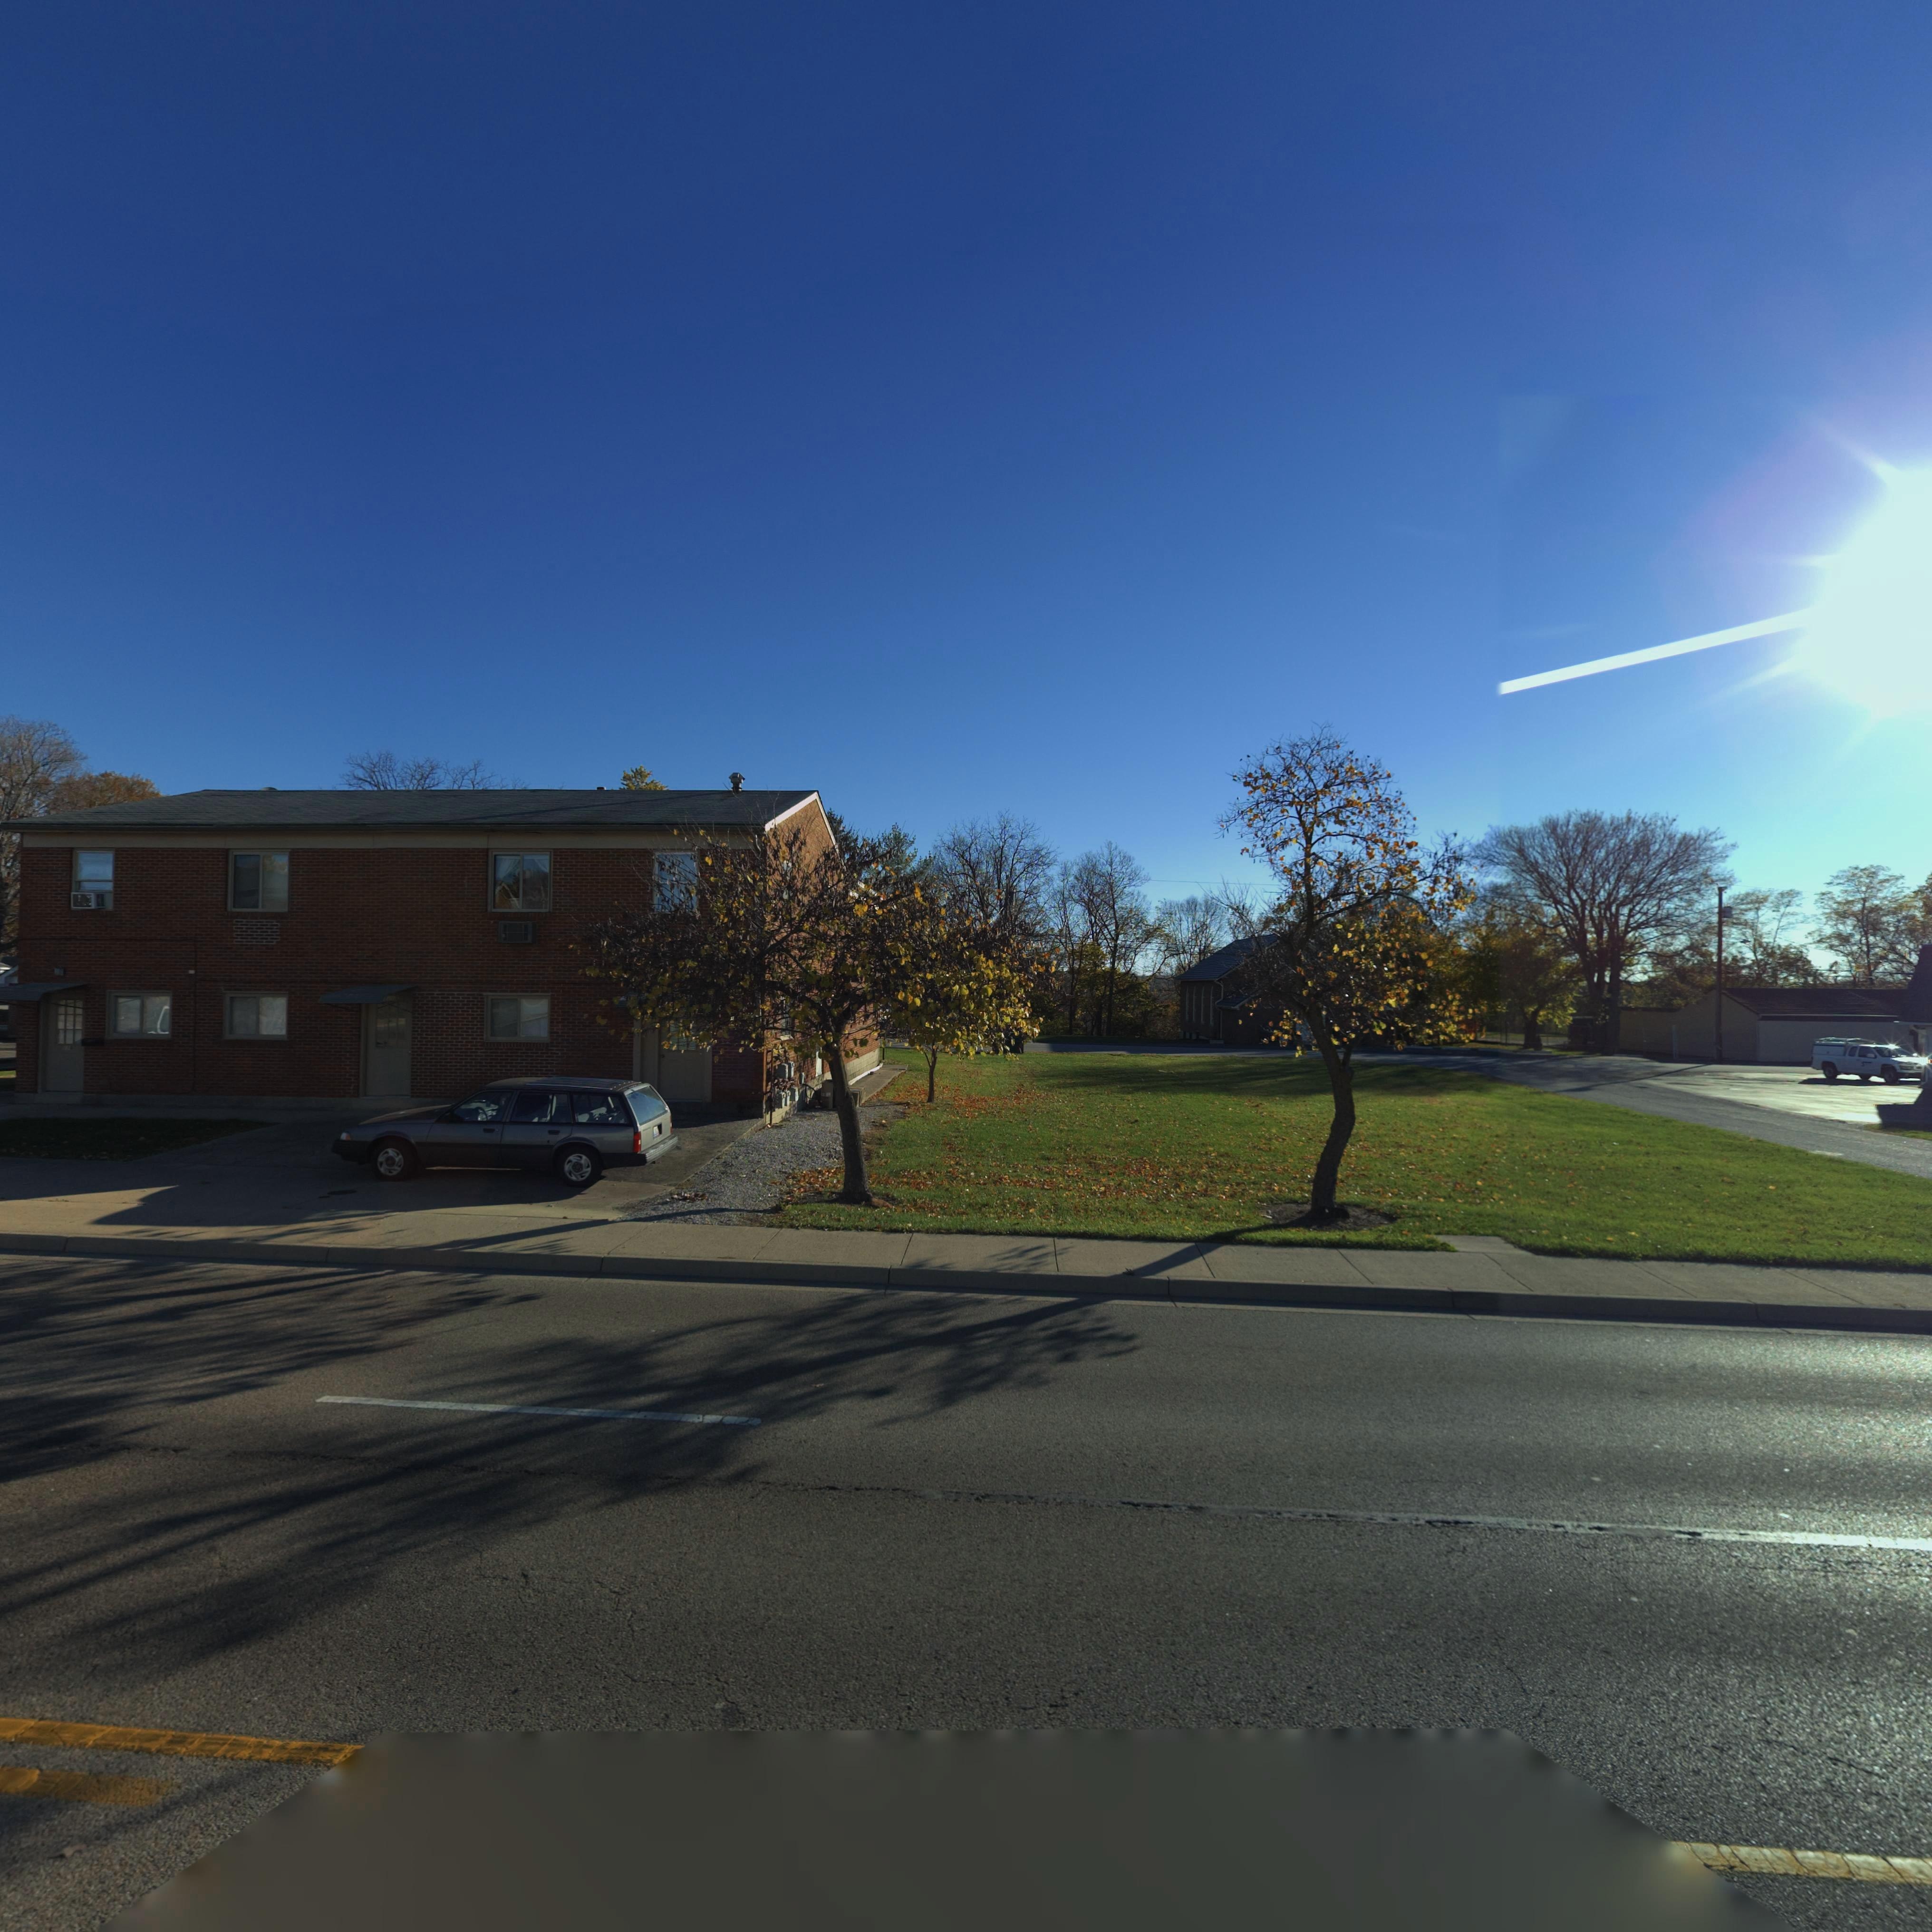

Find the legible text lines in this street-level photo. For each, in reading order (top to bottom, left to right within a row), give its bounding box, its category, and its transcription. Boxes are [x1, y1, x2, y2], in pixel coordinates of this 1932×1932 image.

[62, 1044, 74, 1051] StreetNumber: 11*